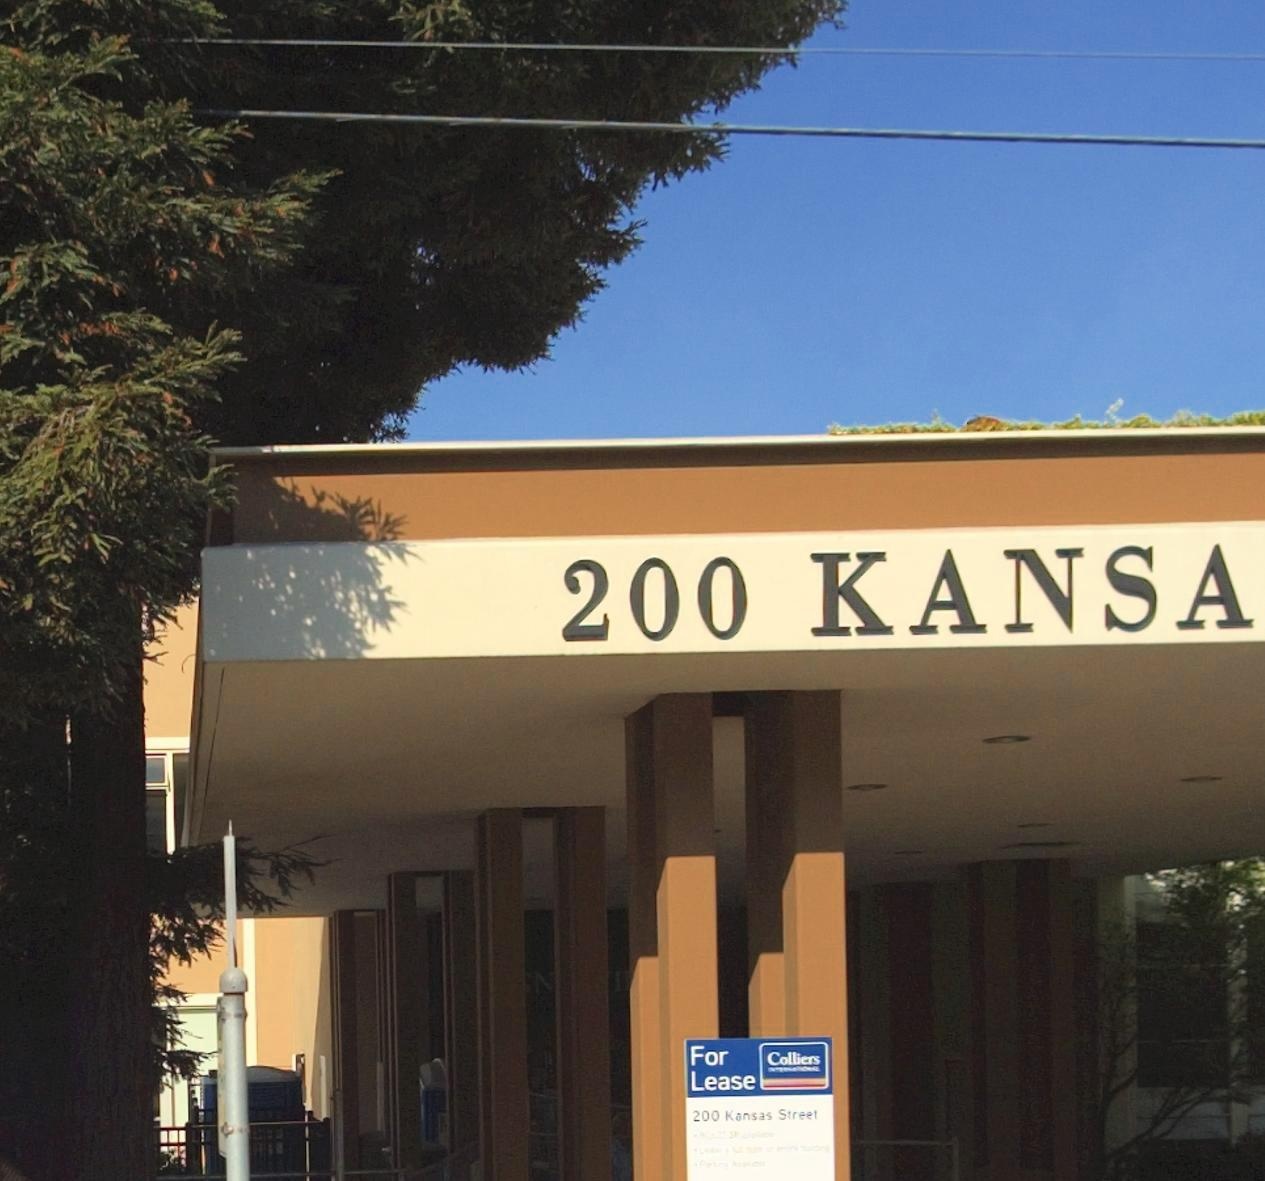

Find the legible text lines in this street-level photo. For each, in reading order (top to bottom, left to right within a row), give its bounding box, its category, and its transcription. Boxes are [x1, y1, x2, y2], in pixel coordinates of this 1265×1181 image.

[560, 555, 749, 643] StreetNumber: 200
[809, 541, 1255, 634] StreetName: KANSA
[689, 1043, 731, 1067] None: For
[765, 1049, 822, 1067] None: Colliers
[690, 1069, 757, 1092] None: Lease
[692, 1108, 721, 1123] StreetNumber: 200
[724, 1108, 819, 1122] StreetName: Kansas Street